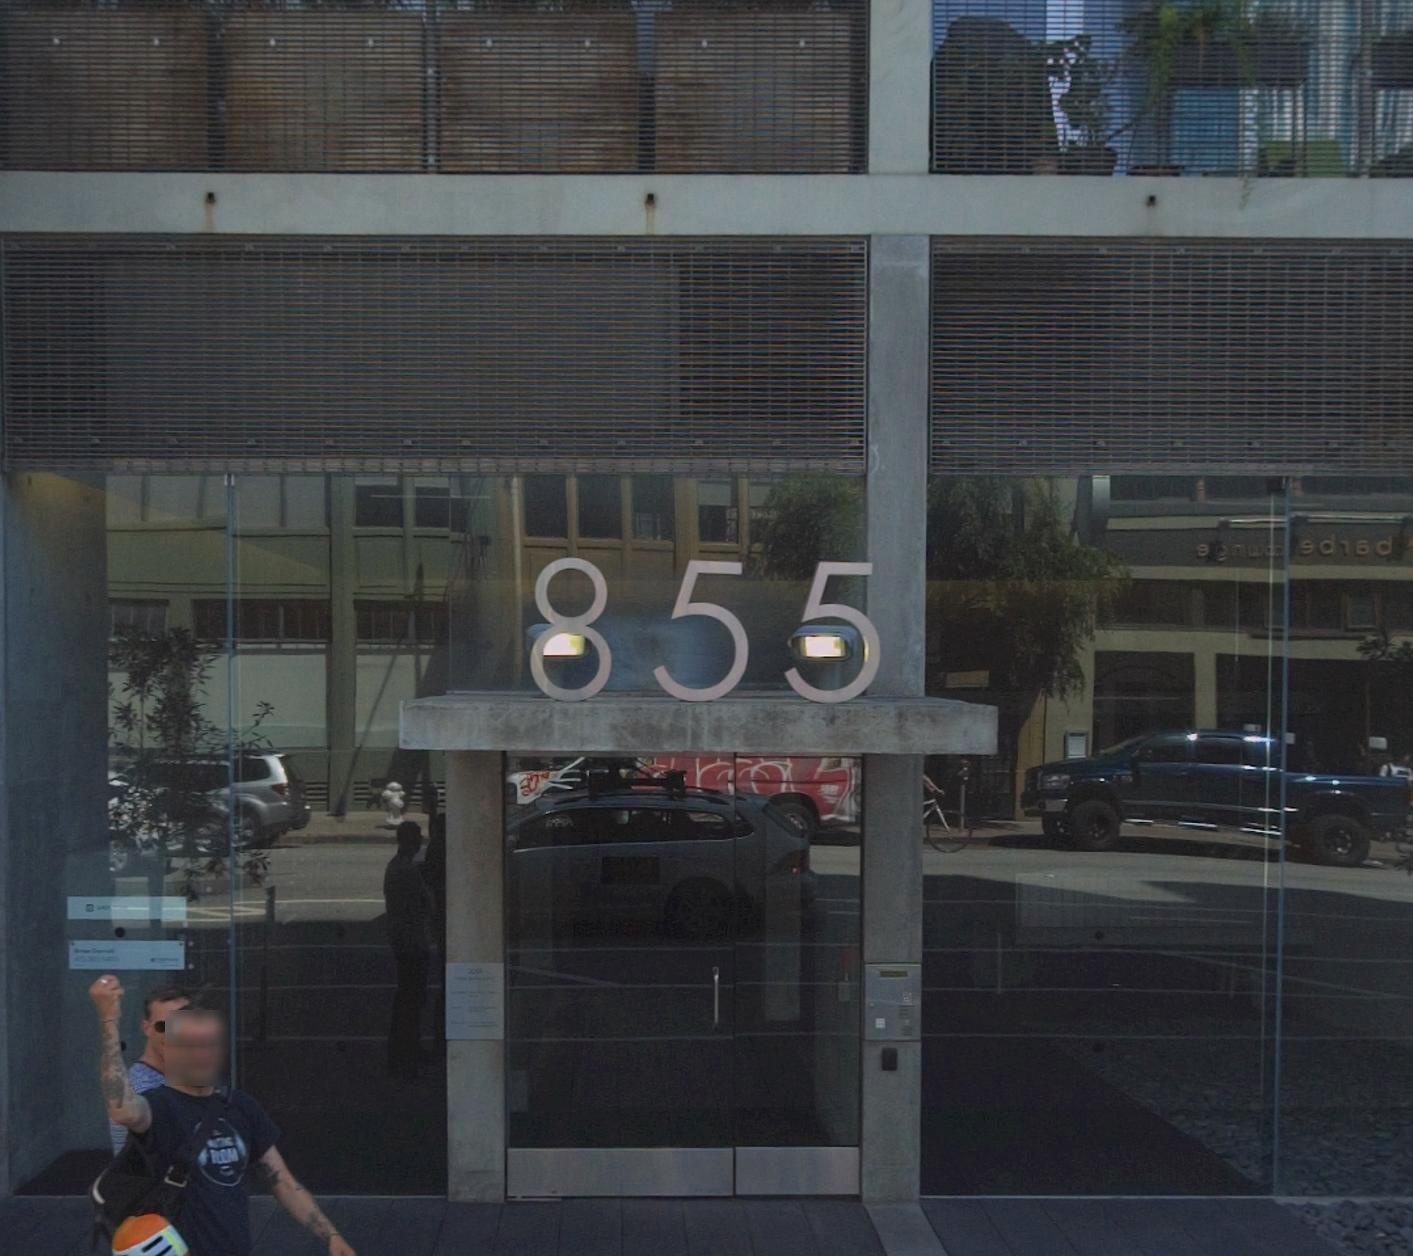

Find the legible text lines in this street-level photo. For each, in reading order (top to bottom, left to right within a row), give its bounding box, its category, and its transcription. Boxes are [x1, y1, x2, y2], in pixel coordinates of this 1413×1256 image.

[527, 556, 885, 706] StreetNumber: 855